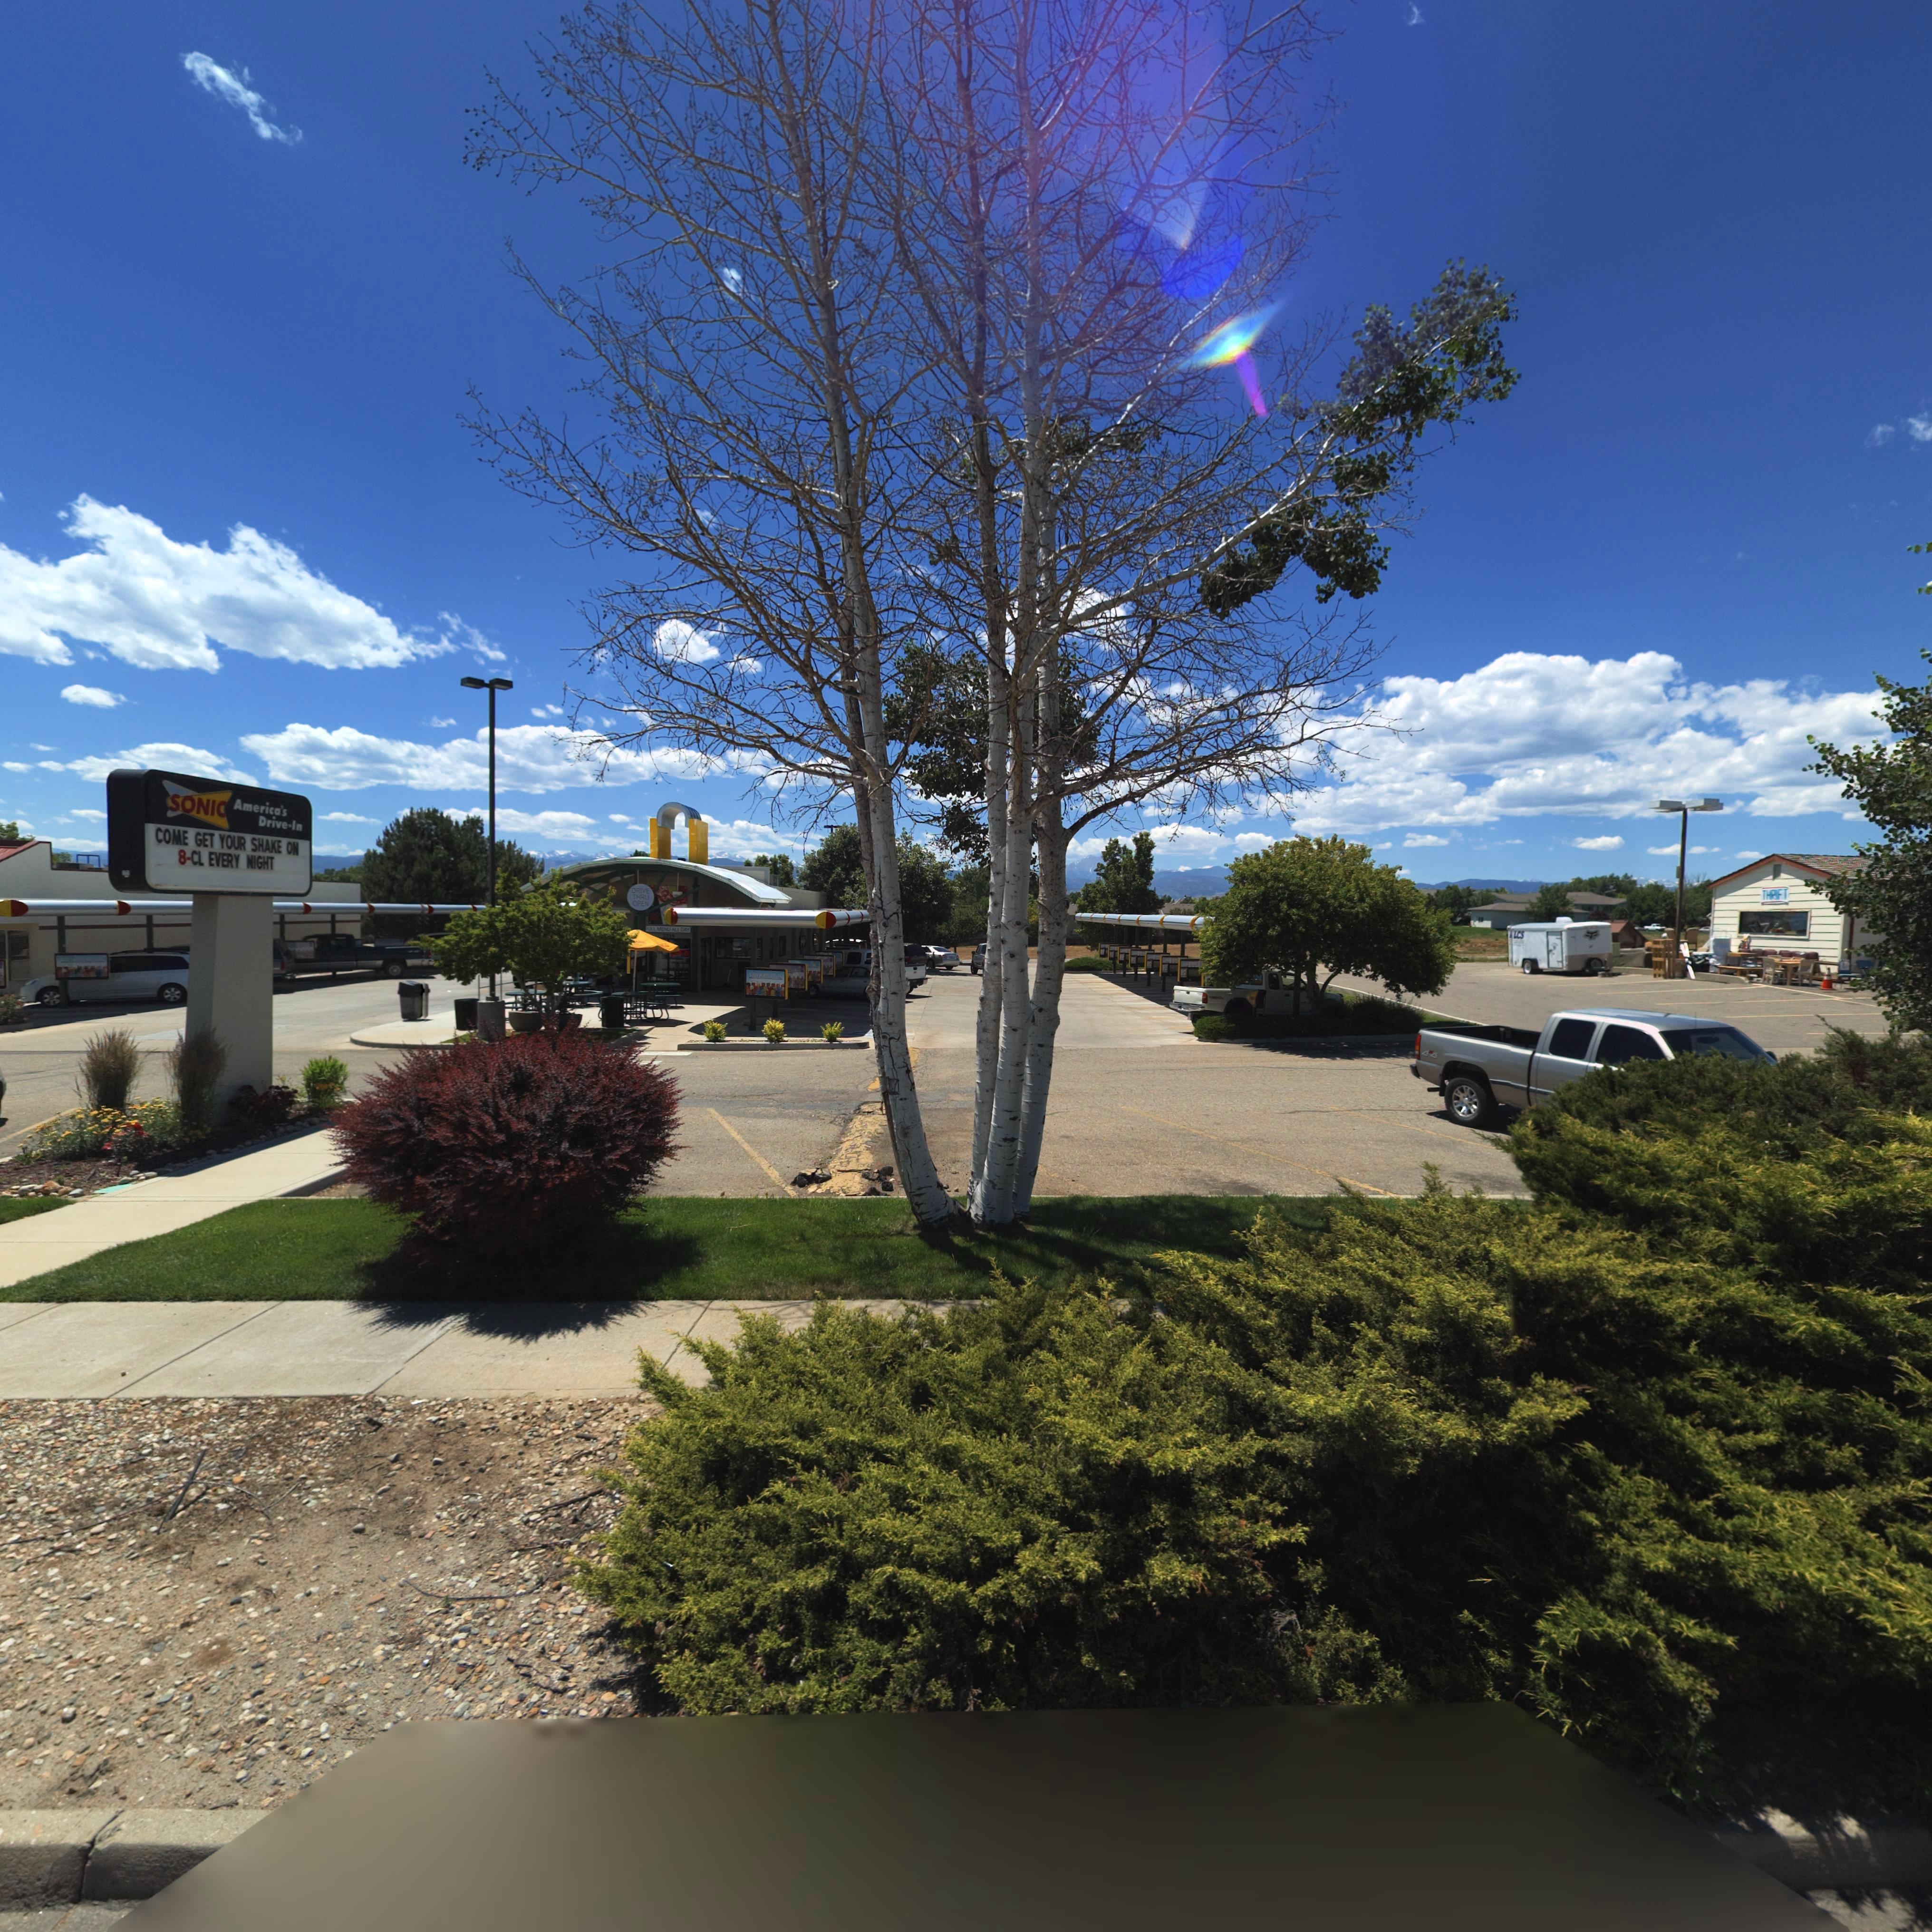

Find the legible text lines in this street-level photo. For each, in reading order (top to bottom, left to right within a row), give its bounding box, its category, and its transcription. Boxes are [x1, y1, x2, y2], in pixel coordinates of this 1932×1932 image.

[167, 792, 228, 818] BusinessName: SONIC
[663, 933, 675, 938] StreetNumber: **99